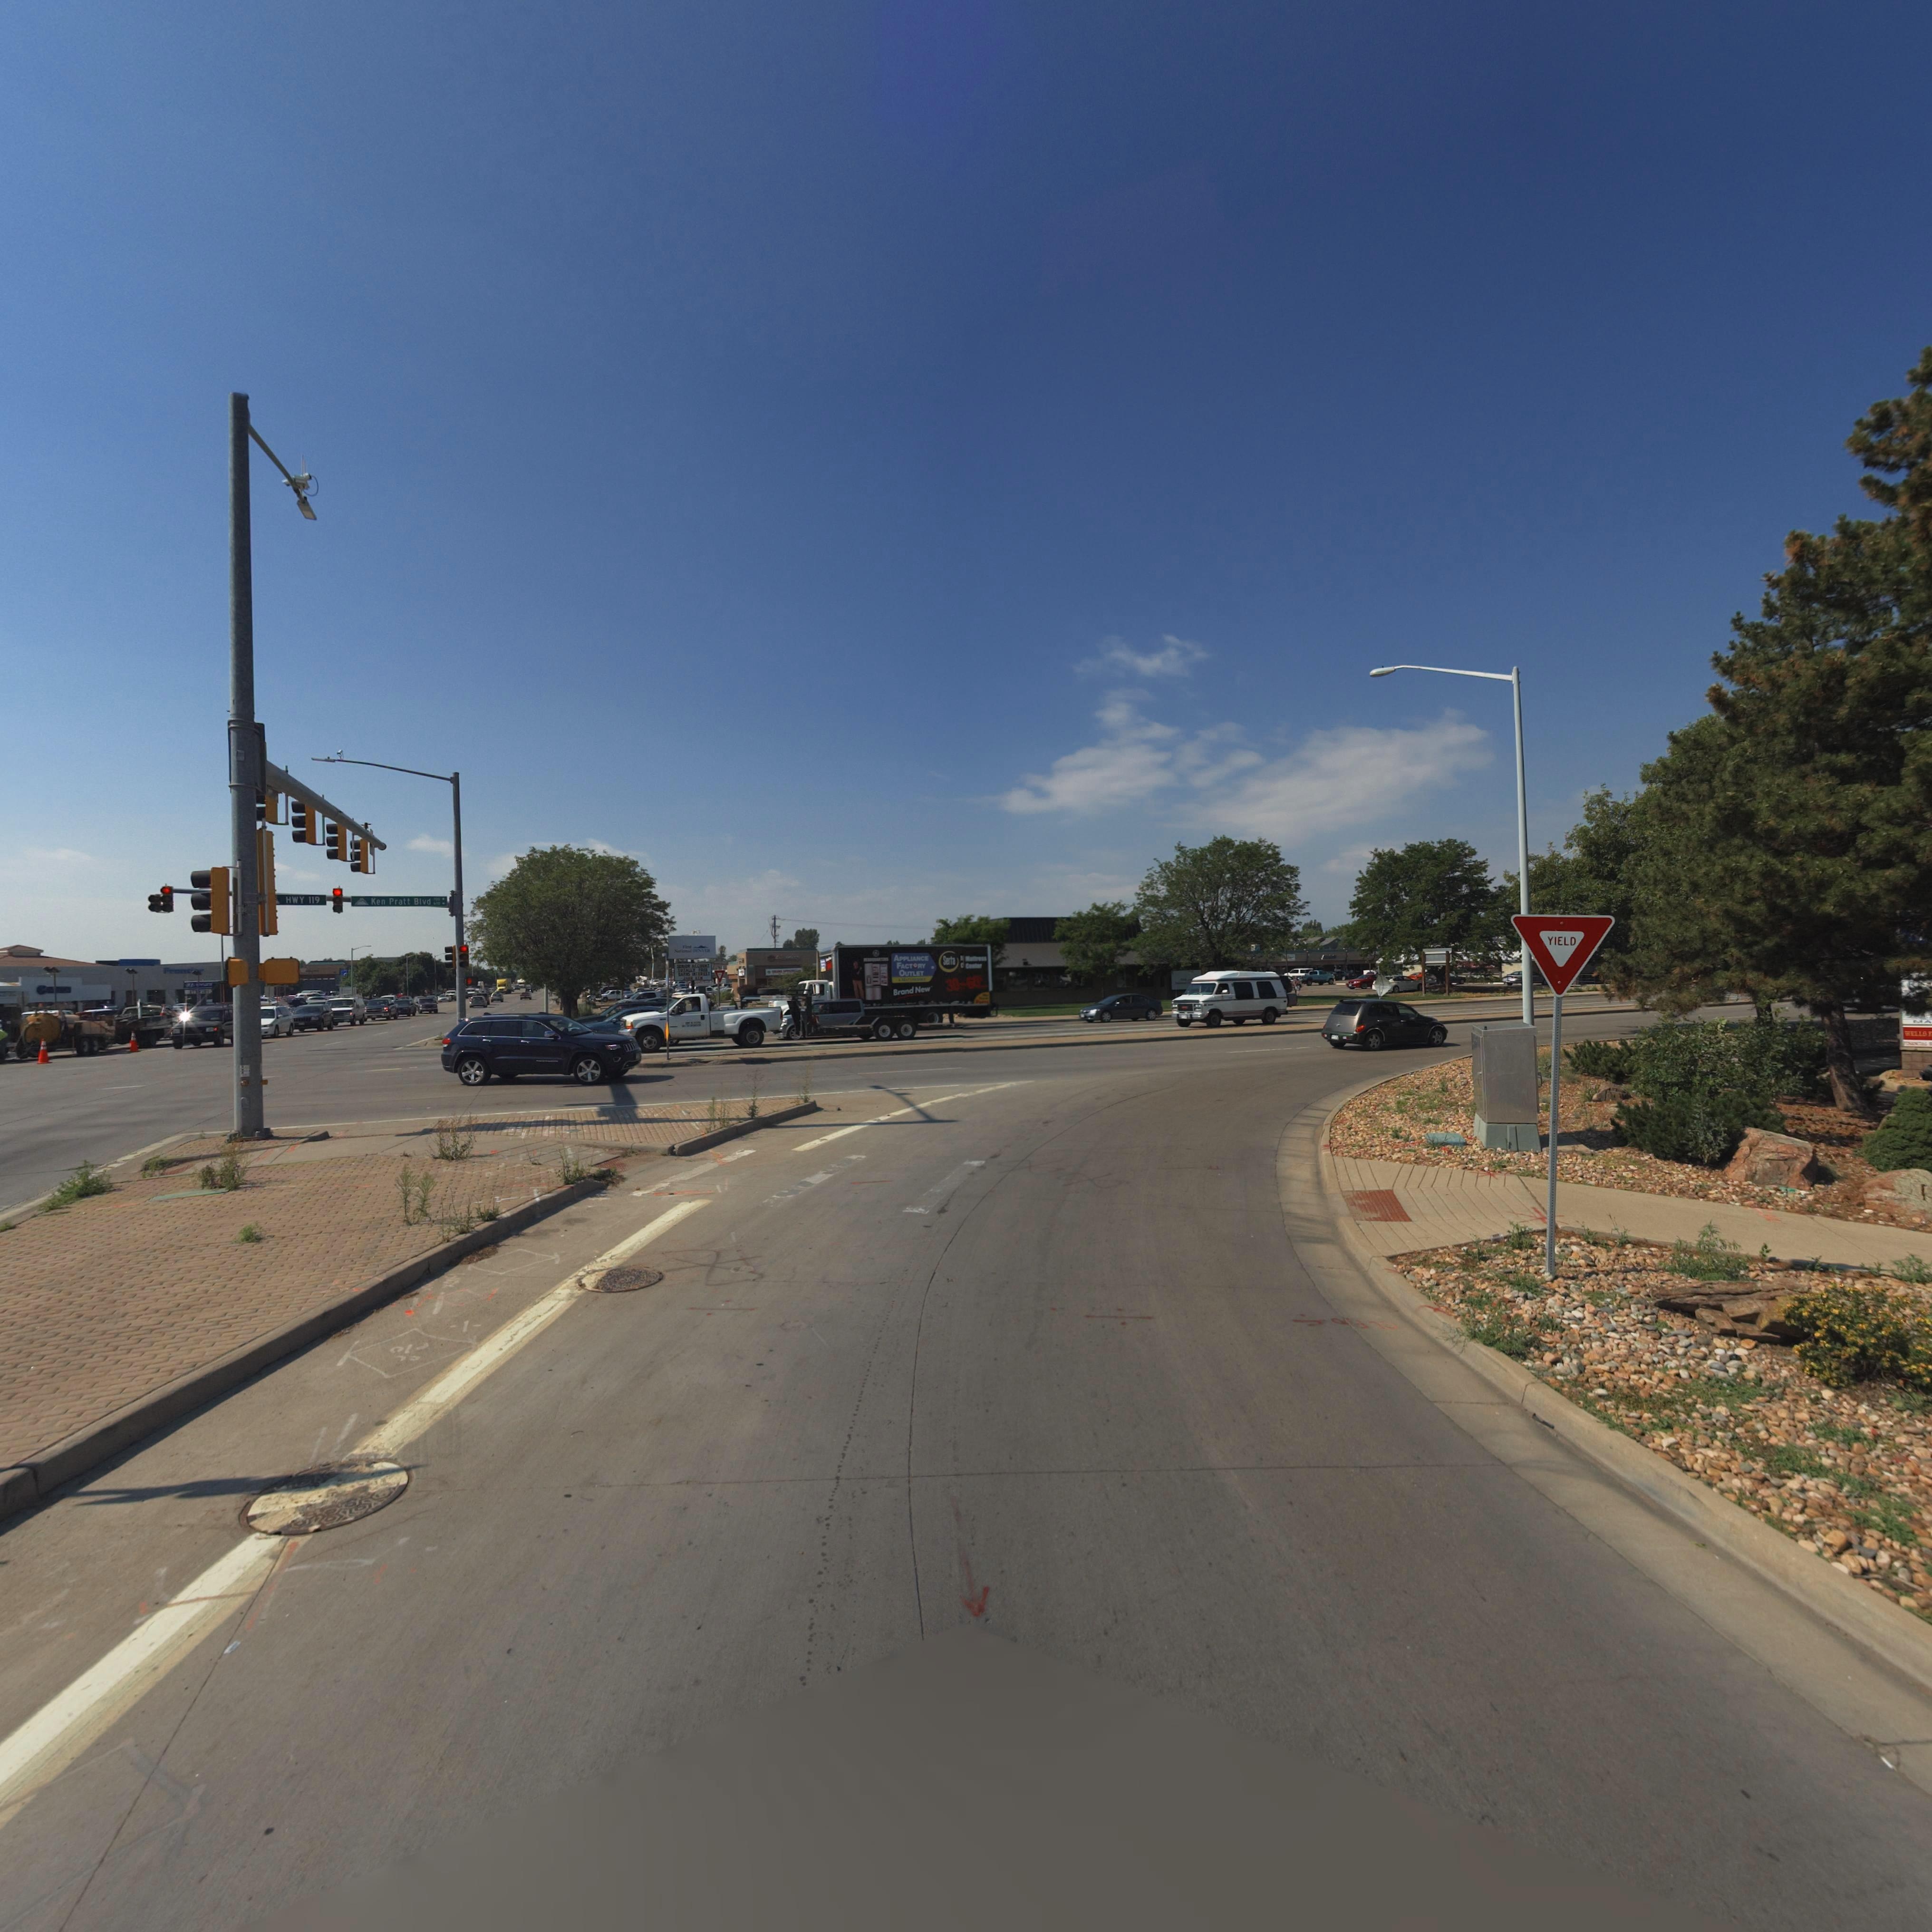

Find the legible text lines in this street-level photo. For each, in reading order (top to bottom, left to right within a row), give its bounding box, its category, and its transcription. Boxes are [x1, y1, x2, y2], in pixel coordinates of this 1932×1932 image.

[285, 896, 320, 904] StreetName: HWY 119
[371, 898, 431, 905] StreetName: Ken Pratt Blvd
[433, 897, 440, 901] StreetNumberRange: 700
[433, 901, 445, 905] StreetNumberRange: 600 ->
[682, 944, 692, 948] BusinessName: First
[674, 948, 710, 953] BusinessName: National DENVER
[1321, 954, 1337, 959] BusinessName: Allstate
[162, 967, 205, 975] BusinessName: Front**r
[195, 982, 213, 987] BusinessName: HYUNDAI
[189, 989, 210, 994] BusinessName: STEVINSON
[1913, 1019, 1923, 1024] BusinessName: M
[1904, 1031, 1927, 1036] BusinessName: WELLS